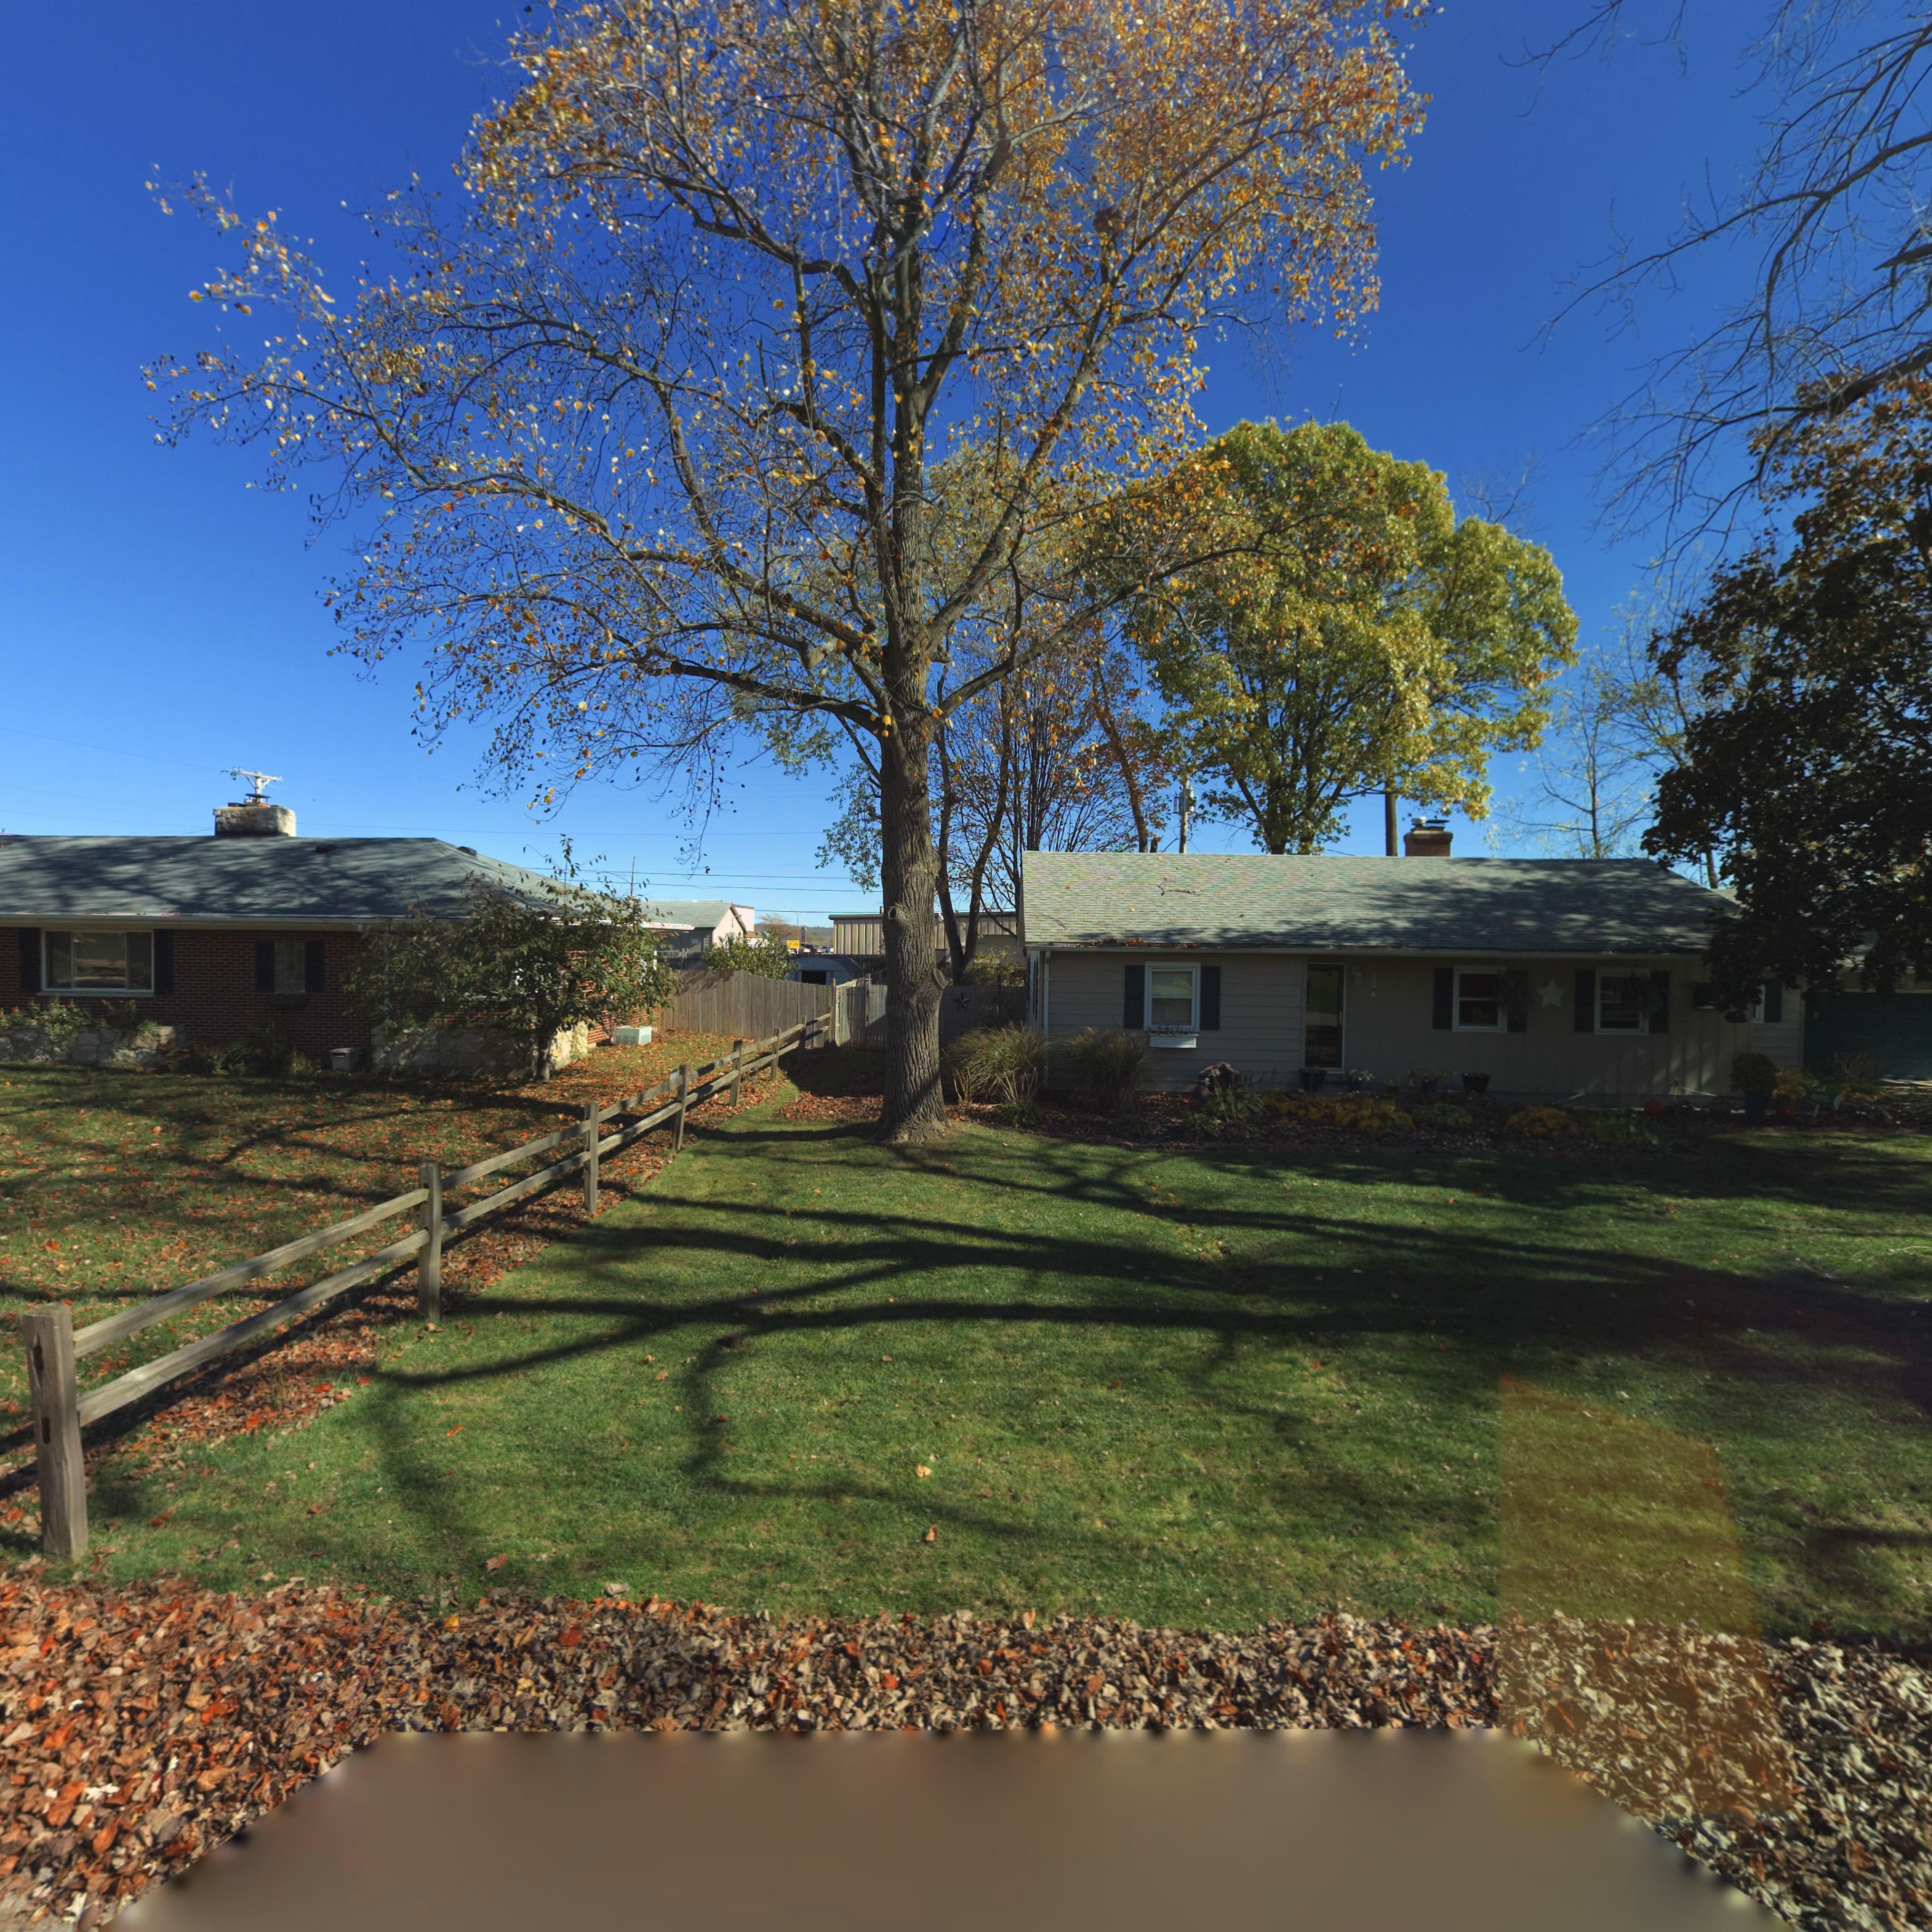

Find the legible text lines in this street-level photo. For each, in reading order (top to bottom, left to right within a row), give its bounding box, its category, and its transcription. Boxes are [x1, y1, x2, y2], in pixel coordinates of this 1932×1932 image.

[1370, 971, 1377, 999] StreetNumber: 704